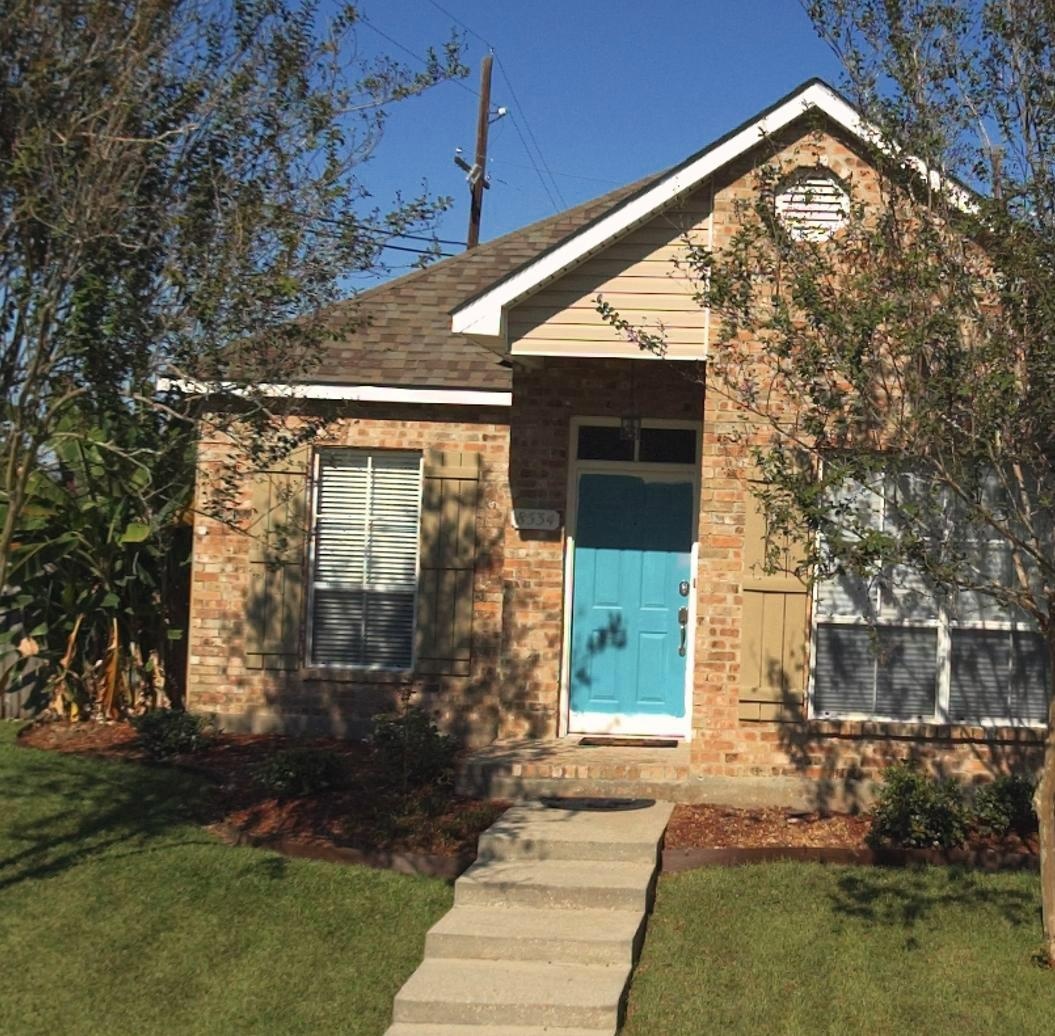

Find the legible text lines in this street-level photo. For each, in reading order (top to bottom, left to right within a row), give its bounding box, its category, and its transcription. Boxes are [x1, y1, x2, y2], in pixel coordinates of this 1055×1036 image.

[516, 511, 555, 526] StreetNumber: 8534